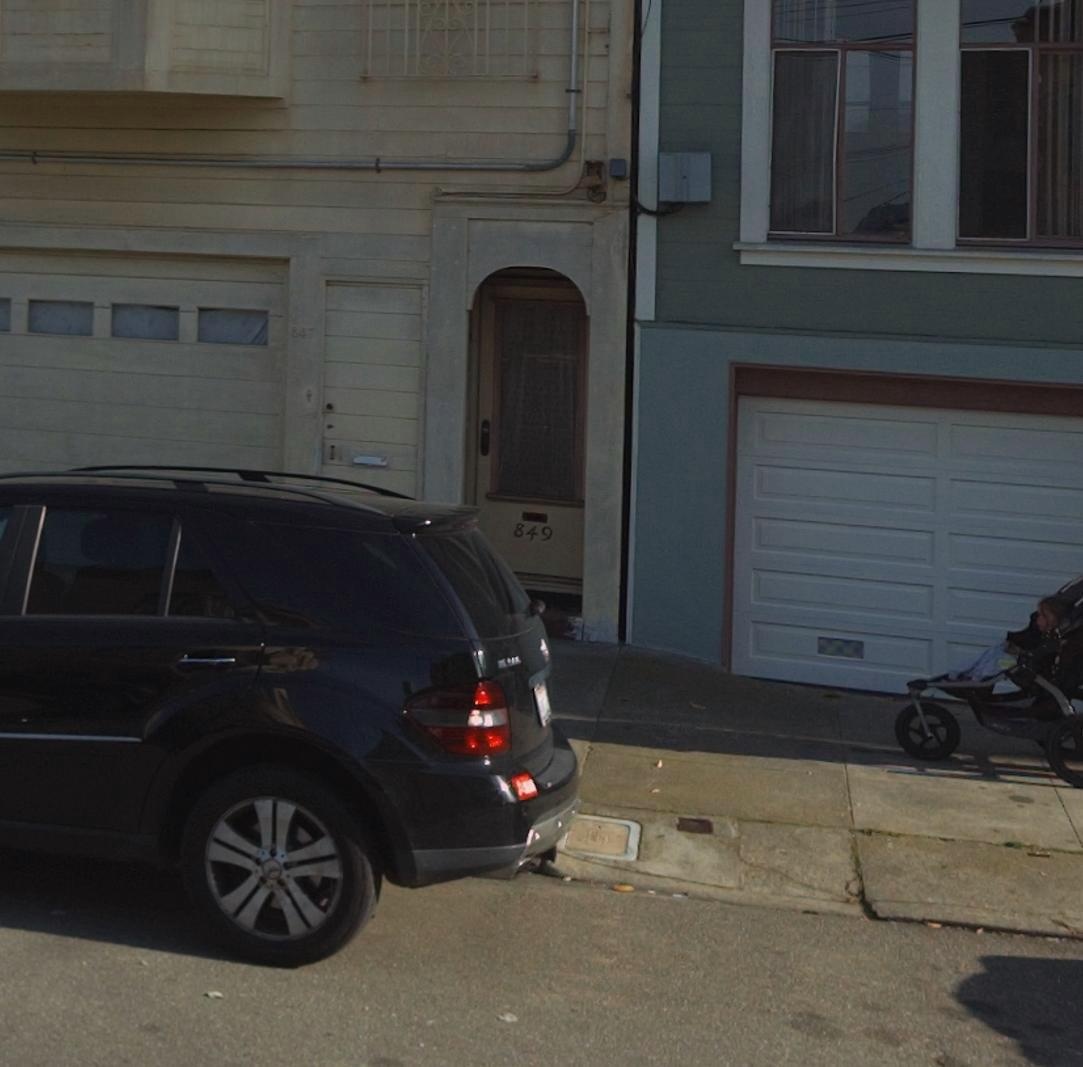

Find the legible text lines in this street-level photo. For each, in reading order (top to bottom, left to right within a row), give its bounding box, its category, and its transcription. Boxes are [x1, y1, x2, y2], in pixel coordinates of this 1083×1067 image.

[511, 520, 555, 546] StreetNumber: 849